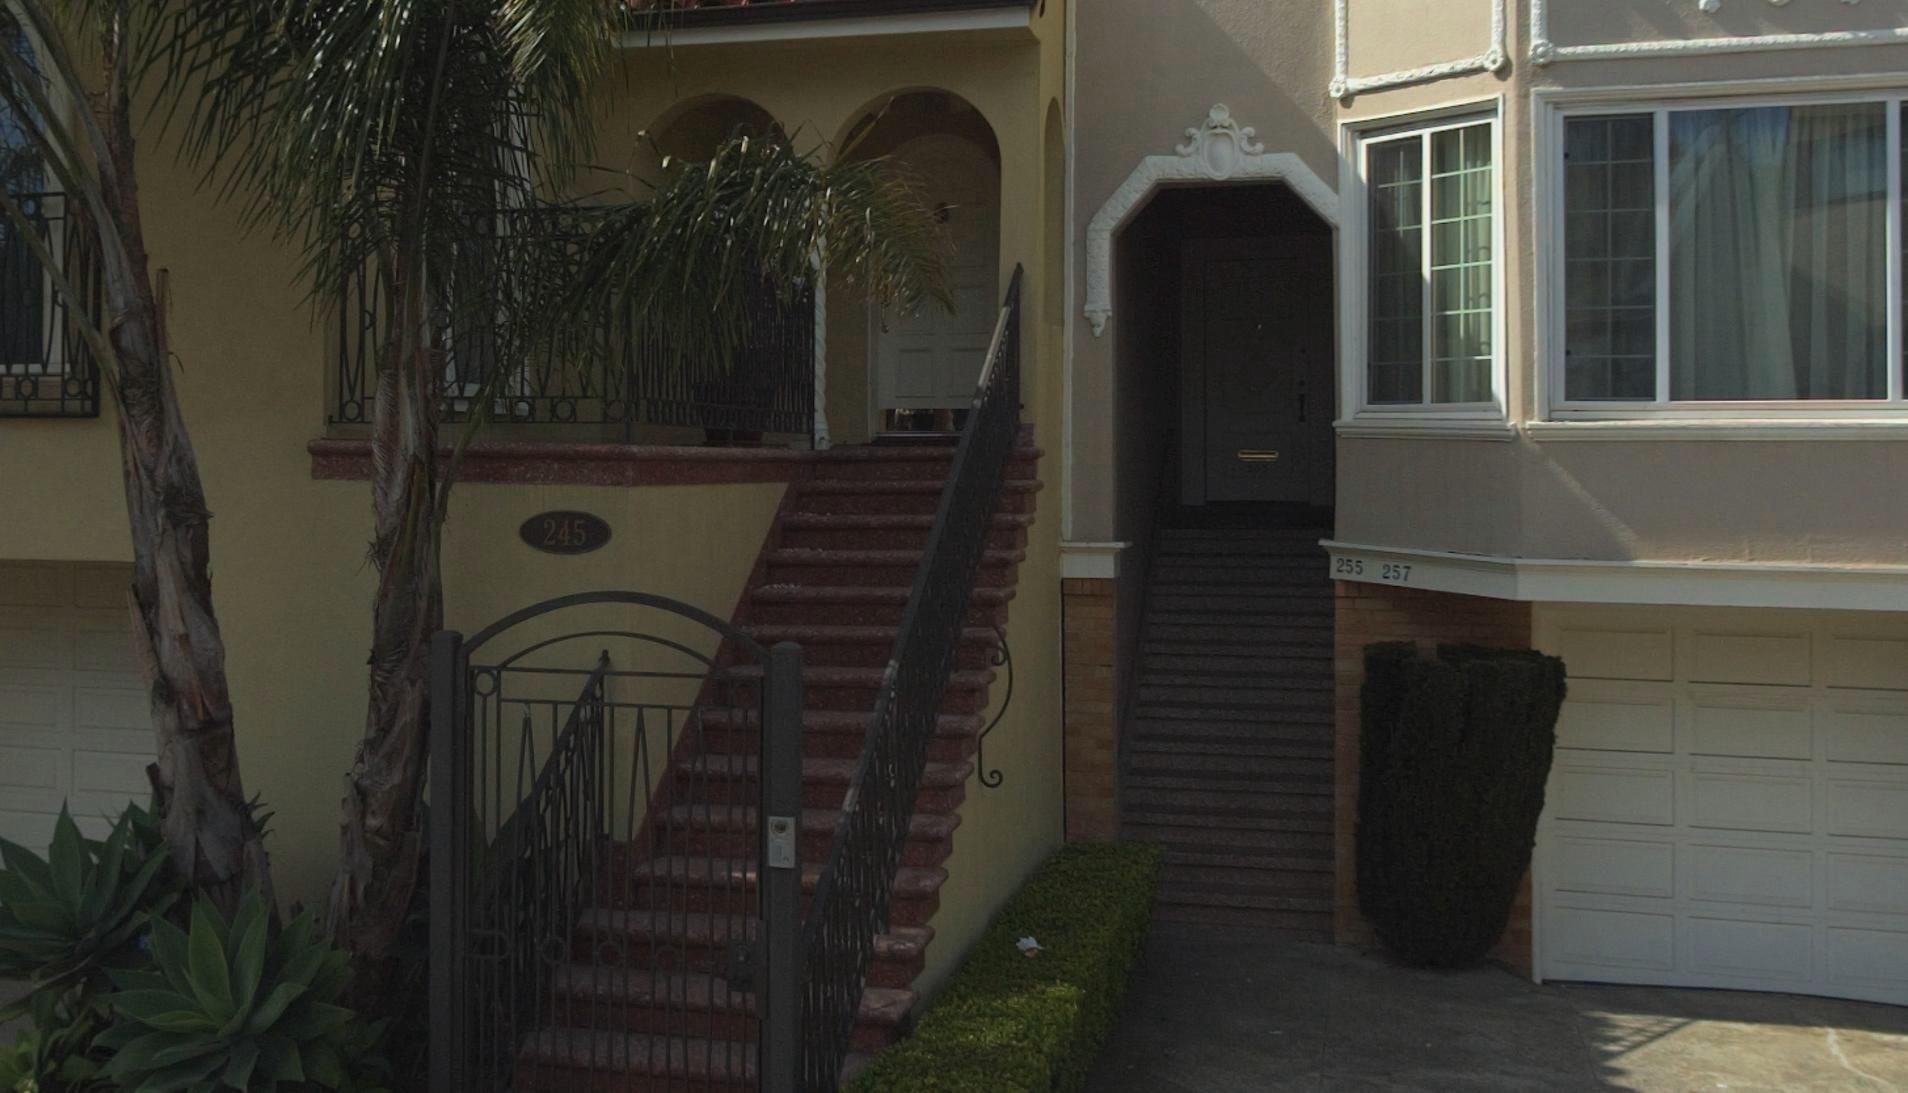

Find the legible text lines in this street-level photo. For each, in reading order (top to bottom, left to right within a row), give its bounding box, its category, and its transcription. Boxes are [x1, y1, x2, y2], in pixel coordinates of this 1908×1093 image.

[540, 517, 588, 548] StreetNumber: 245
[1334, 555, 1366, 578] StreetNumber: 255
[1380, 562, 1415, 584] StreetNumber: 257